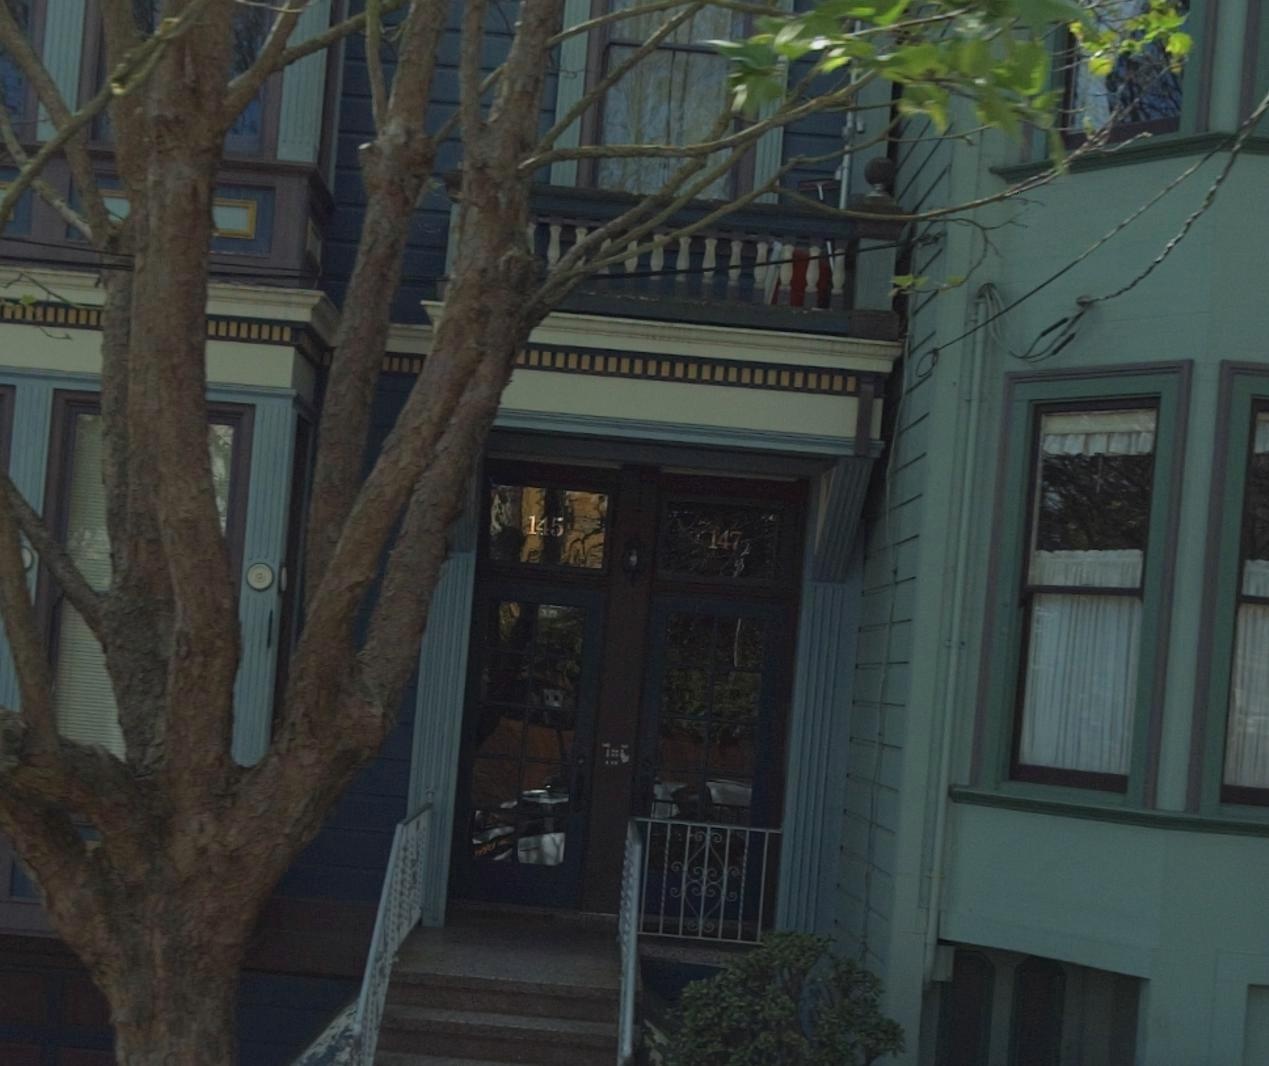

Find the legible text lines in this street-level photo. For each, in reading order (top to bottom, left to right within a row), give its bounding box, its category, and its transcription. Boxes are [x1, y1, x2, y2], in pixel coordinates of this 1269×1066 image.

[526, 515, 566, 538] StreetNumber: 145
[707, 528, 743, 551] StreetNumber: 147